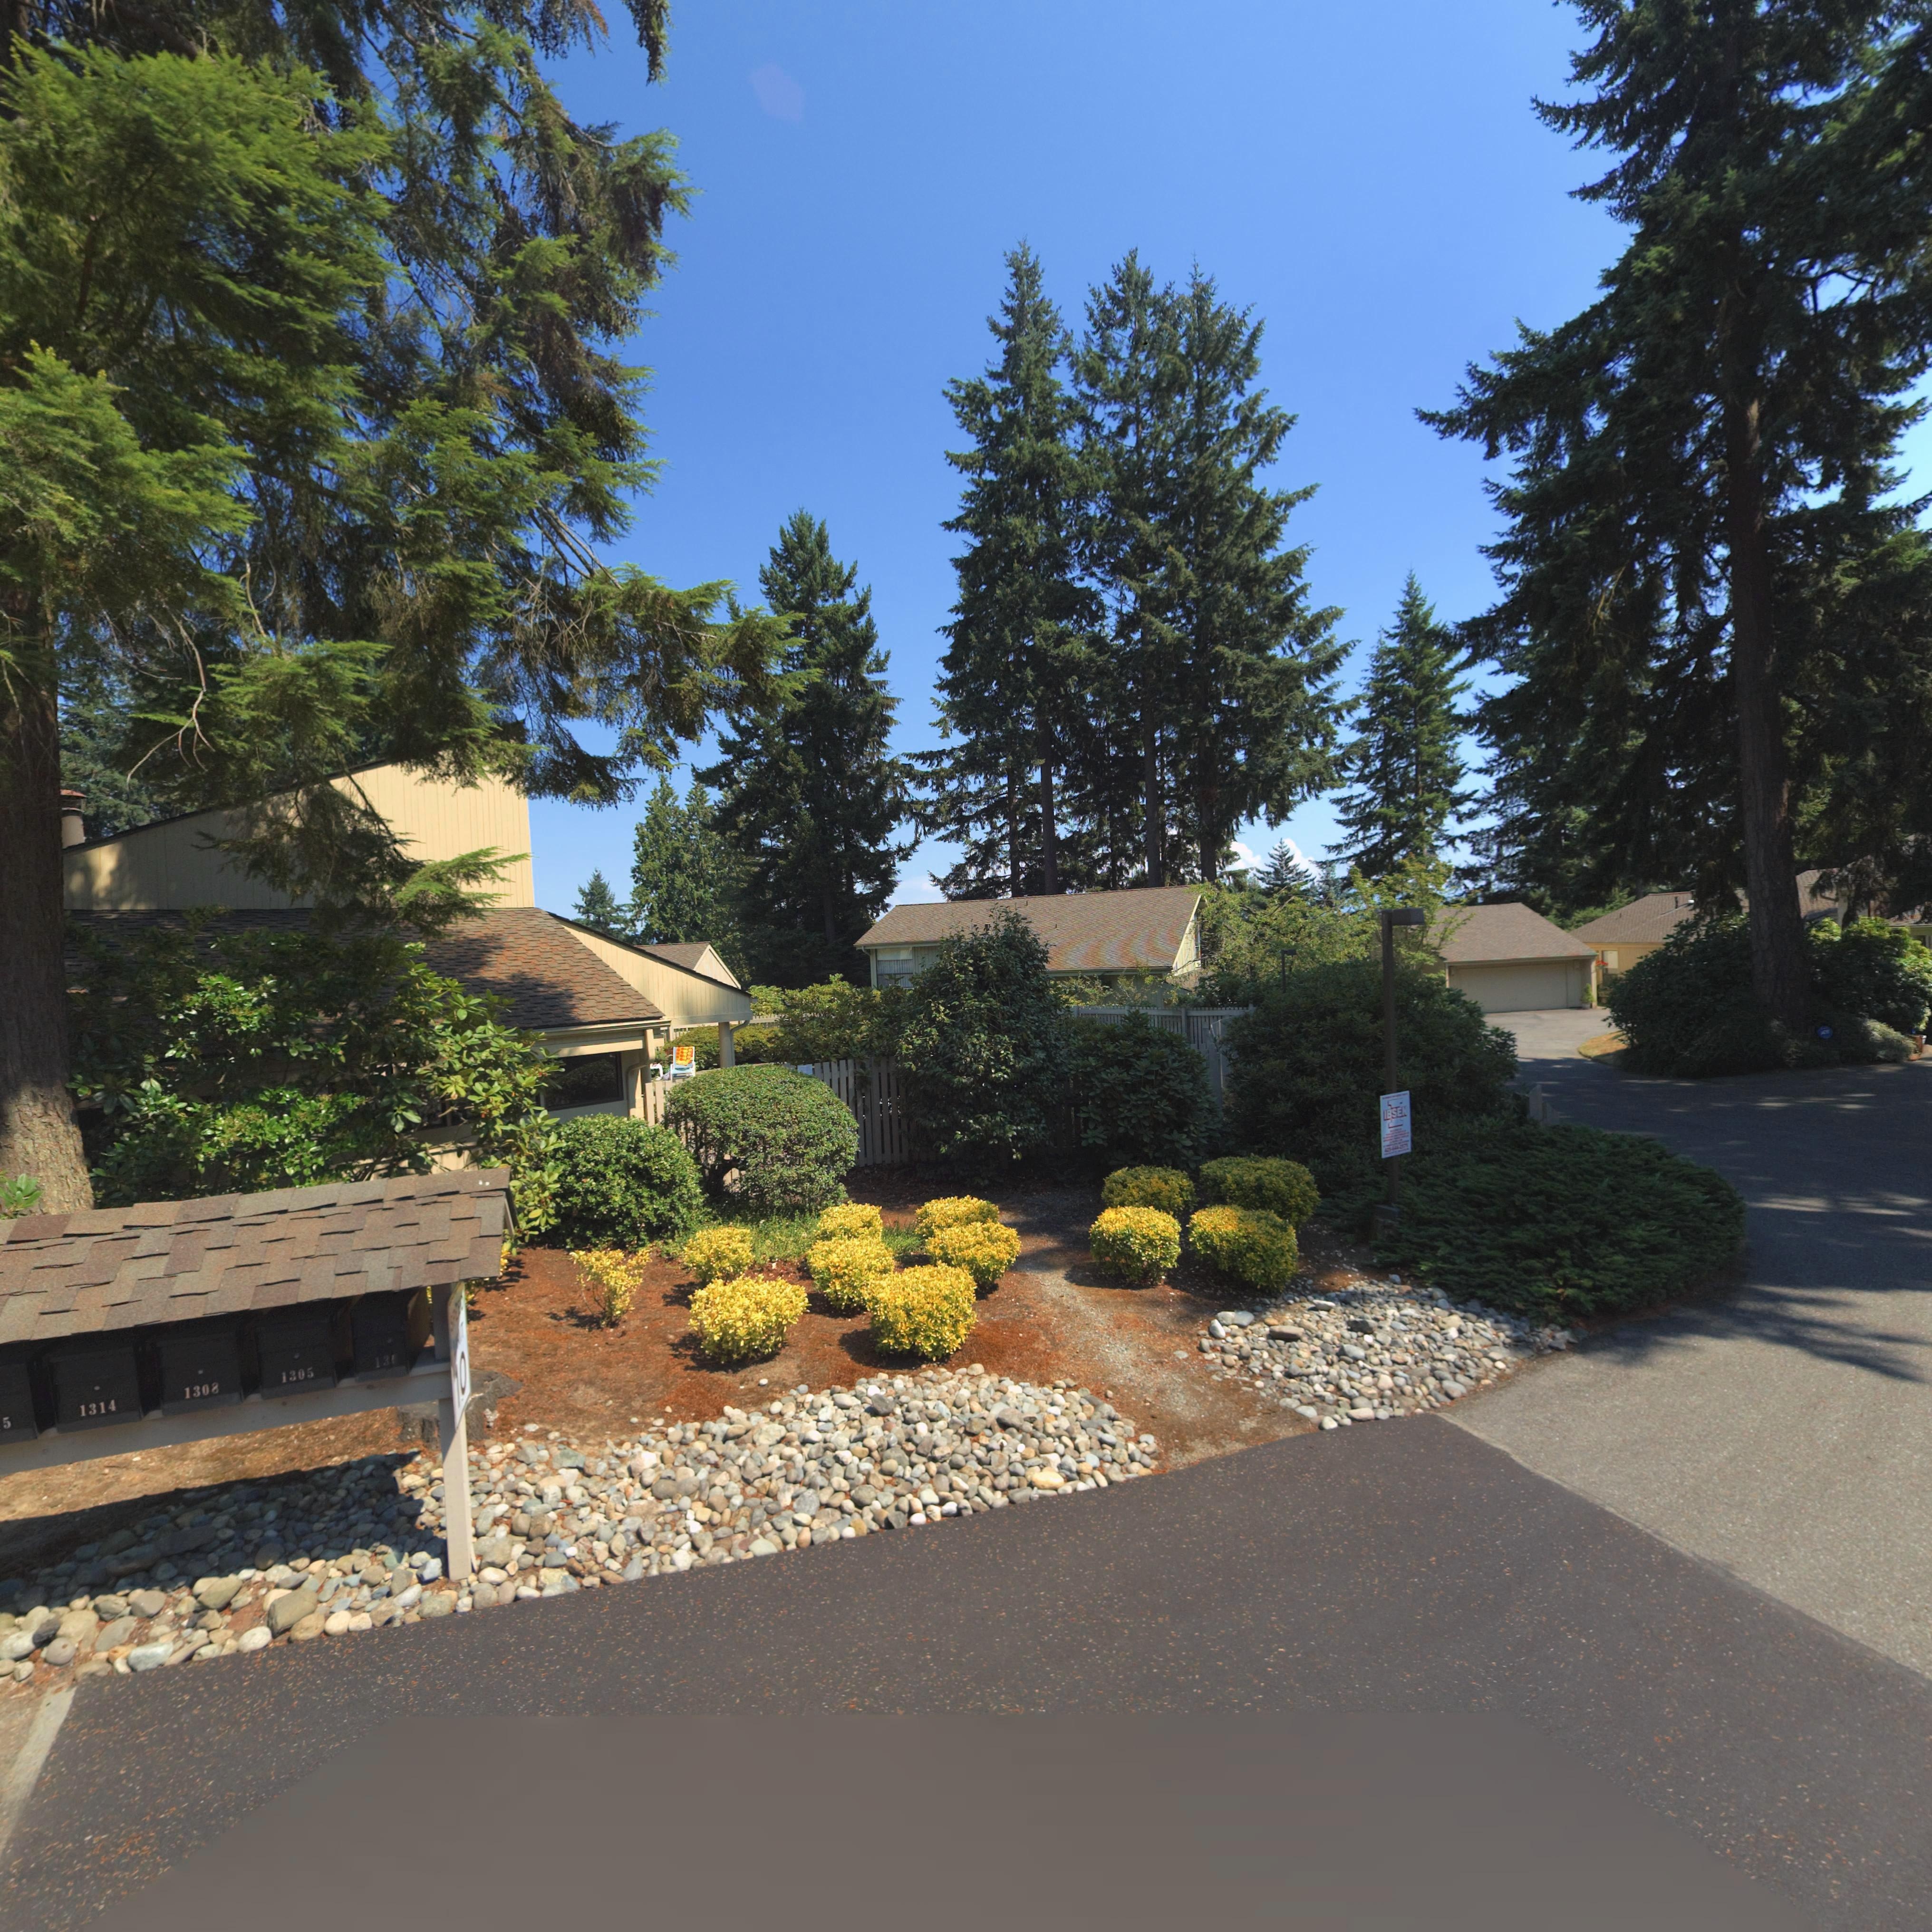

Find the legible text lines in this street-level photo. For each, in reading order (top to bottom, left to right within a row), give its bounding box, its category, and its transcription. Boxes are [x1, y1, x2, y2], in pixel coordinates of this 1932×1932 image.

[373, 1348, 404, 1371] StreetNumber: 13*
[280, 1366, 316, 1385] StreetNumber: 1305
[184, 1381, 225, 1399] StreetNumber: 1308
[76, 1398, 118, 1417] StreetNumber: 1314
[1, 1413, 14, 1433] StreetNumber: *5